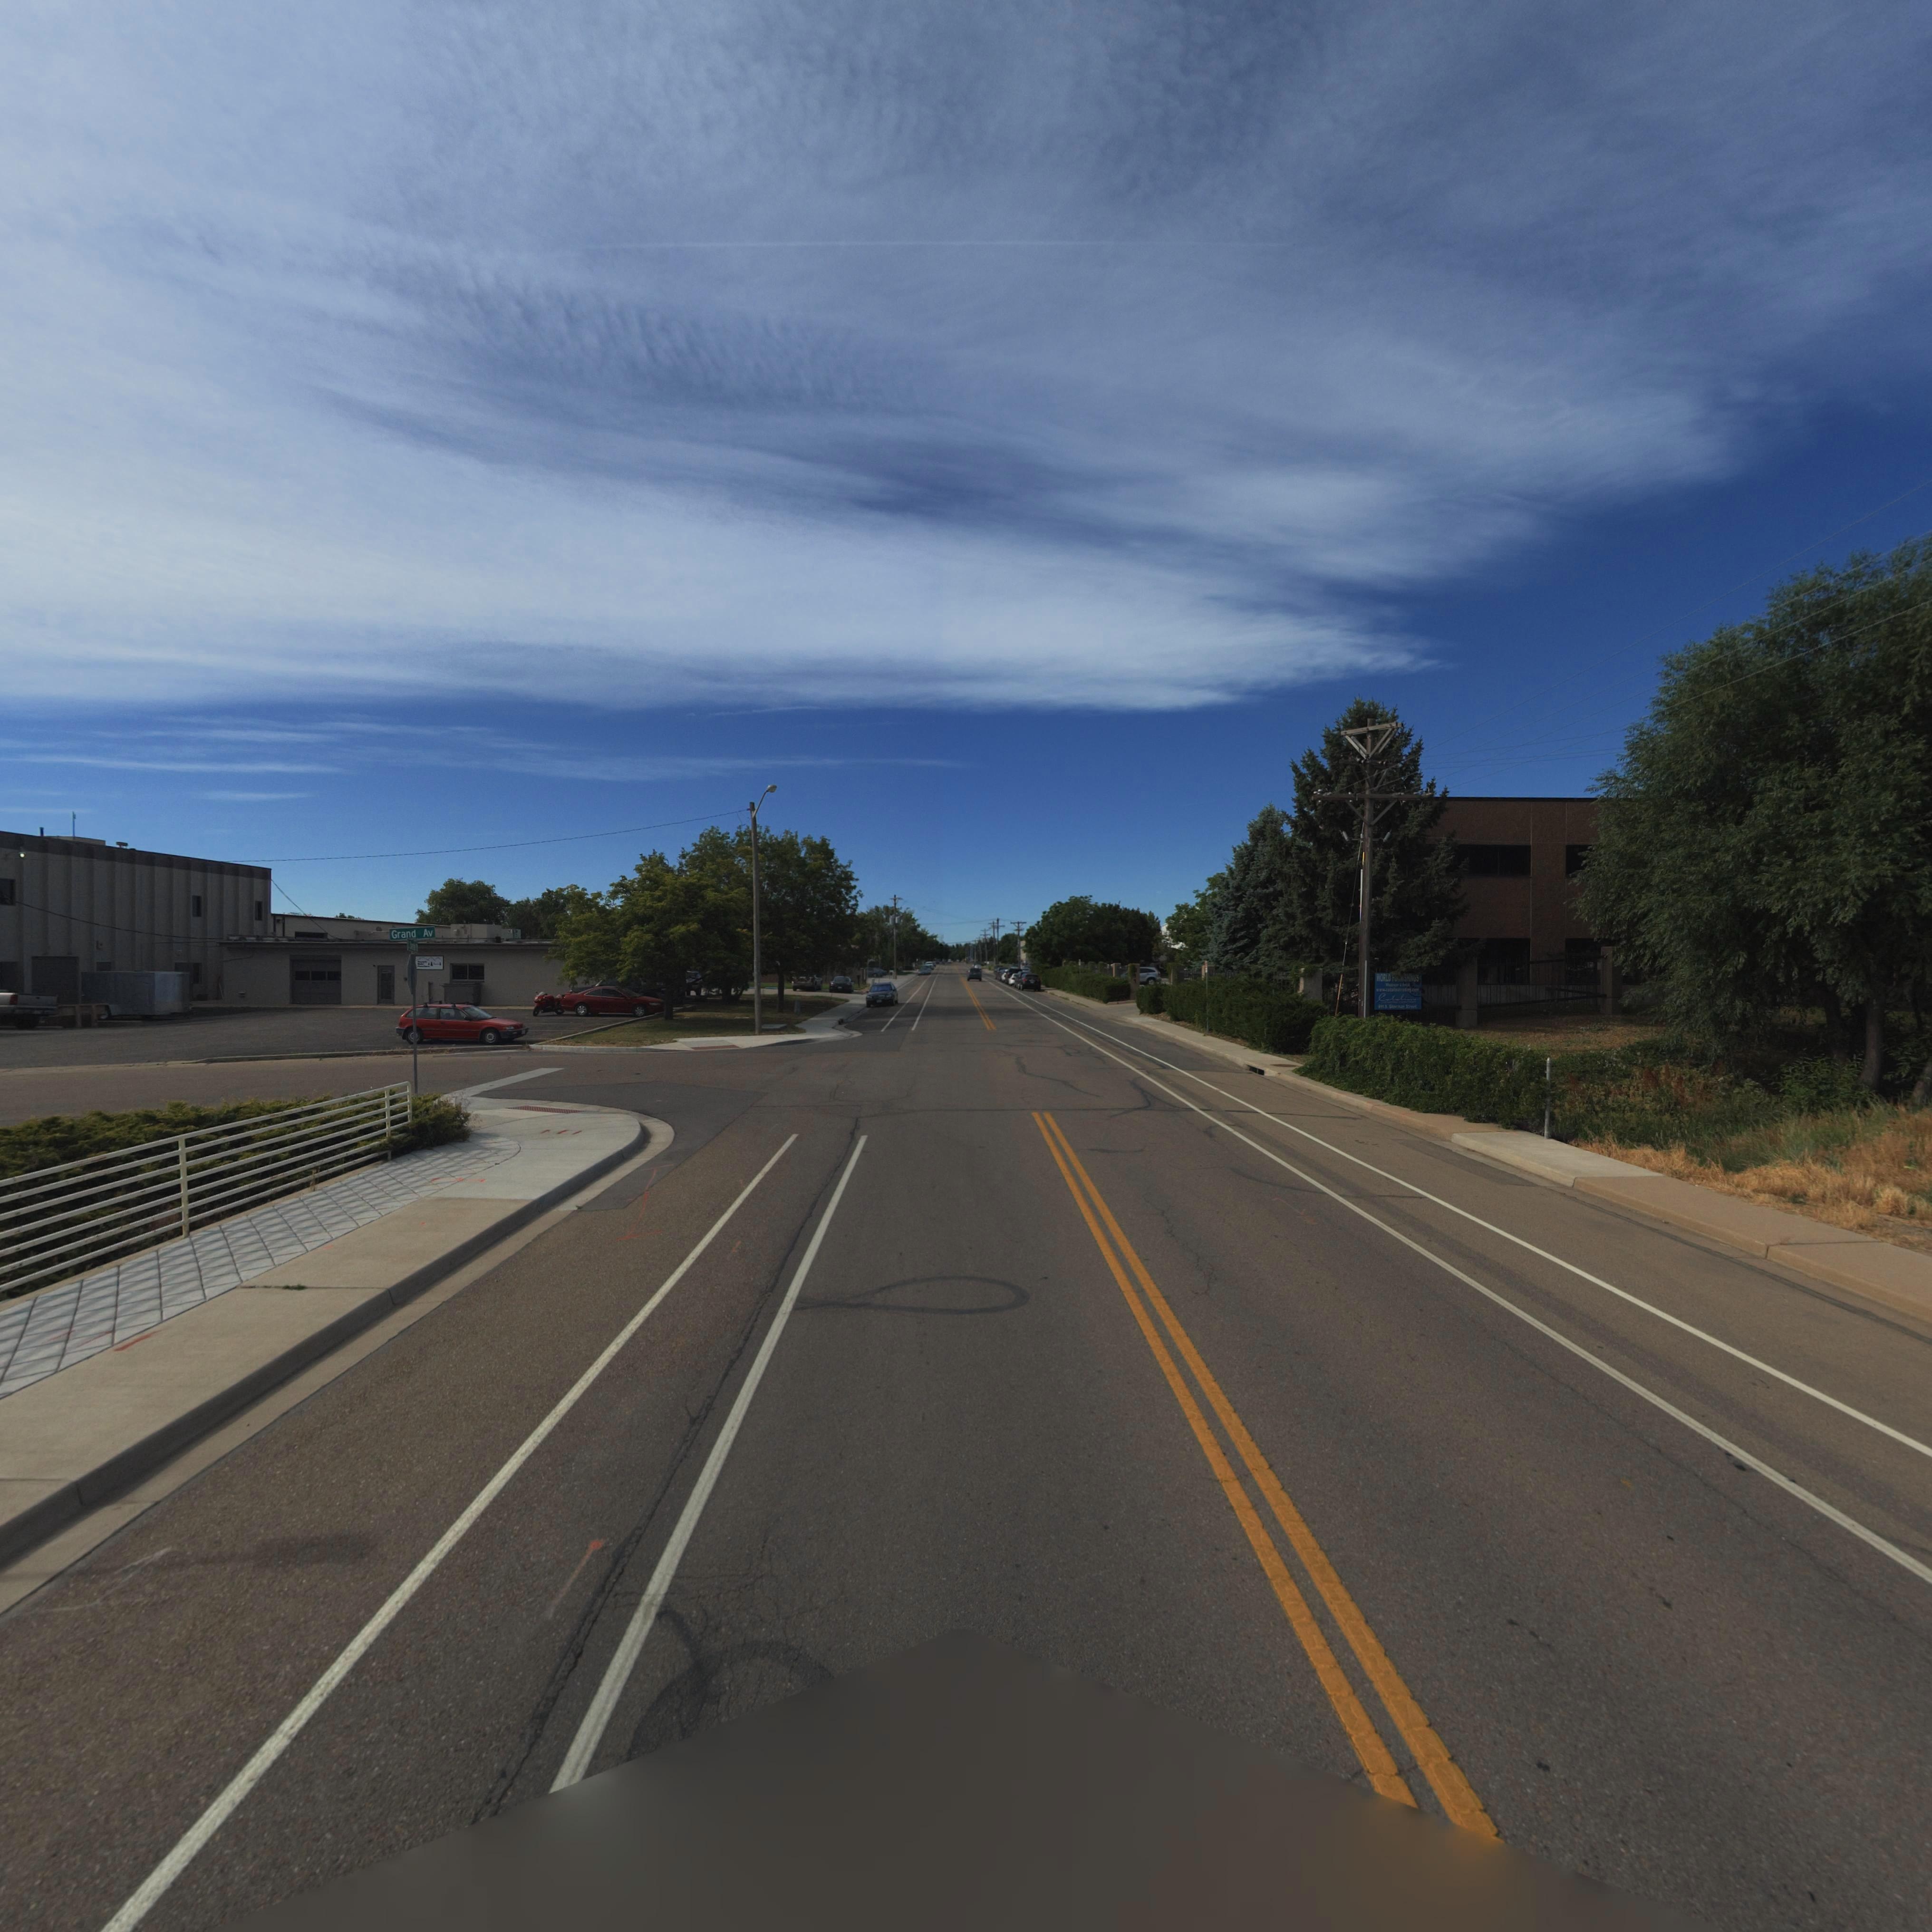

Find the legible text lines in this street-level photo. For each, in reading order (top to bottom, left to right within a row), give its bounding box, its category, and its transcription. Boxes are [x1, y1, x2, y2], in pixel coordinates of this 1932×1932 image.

[391, 928, 433, 938] StreetName: Grand Av